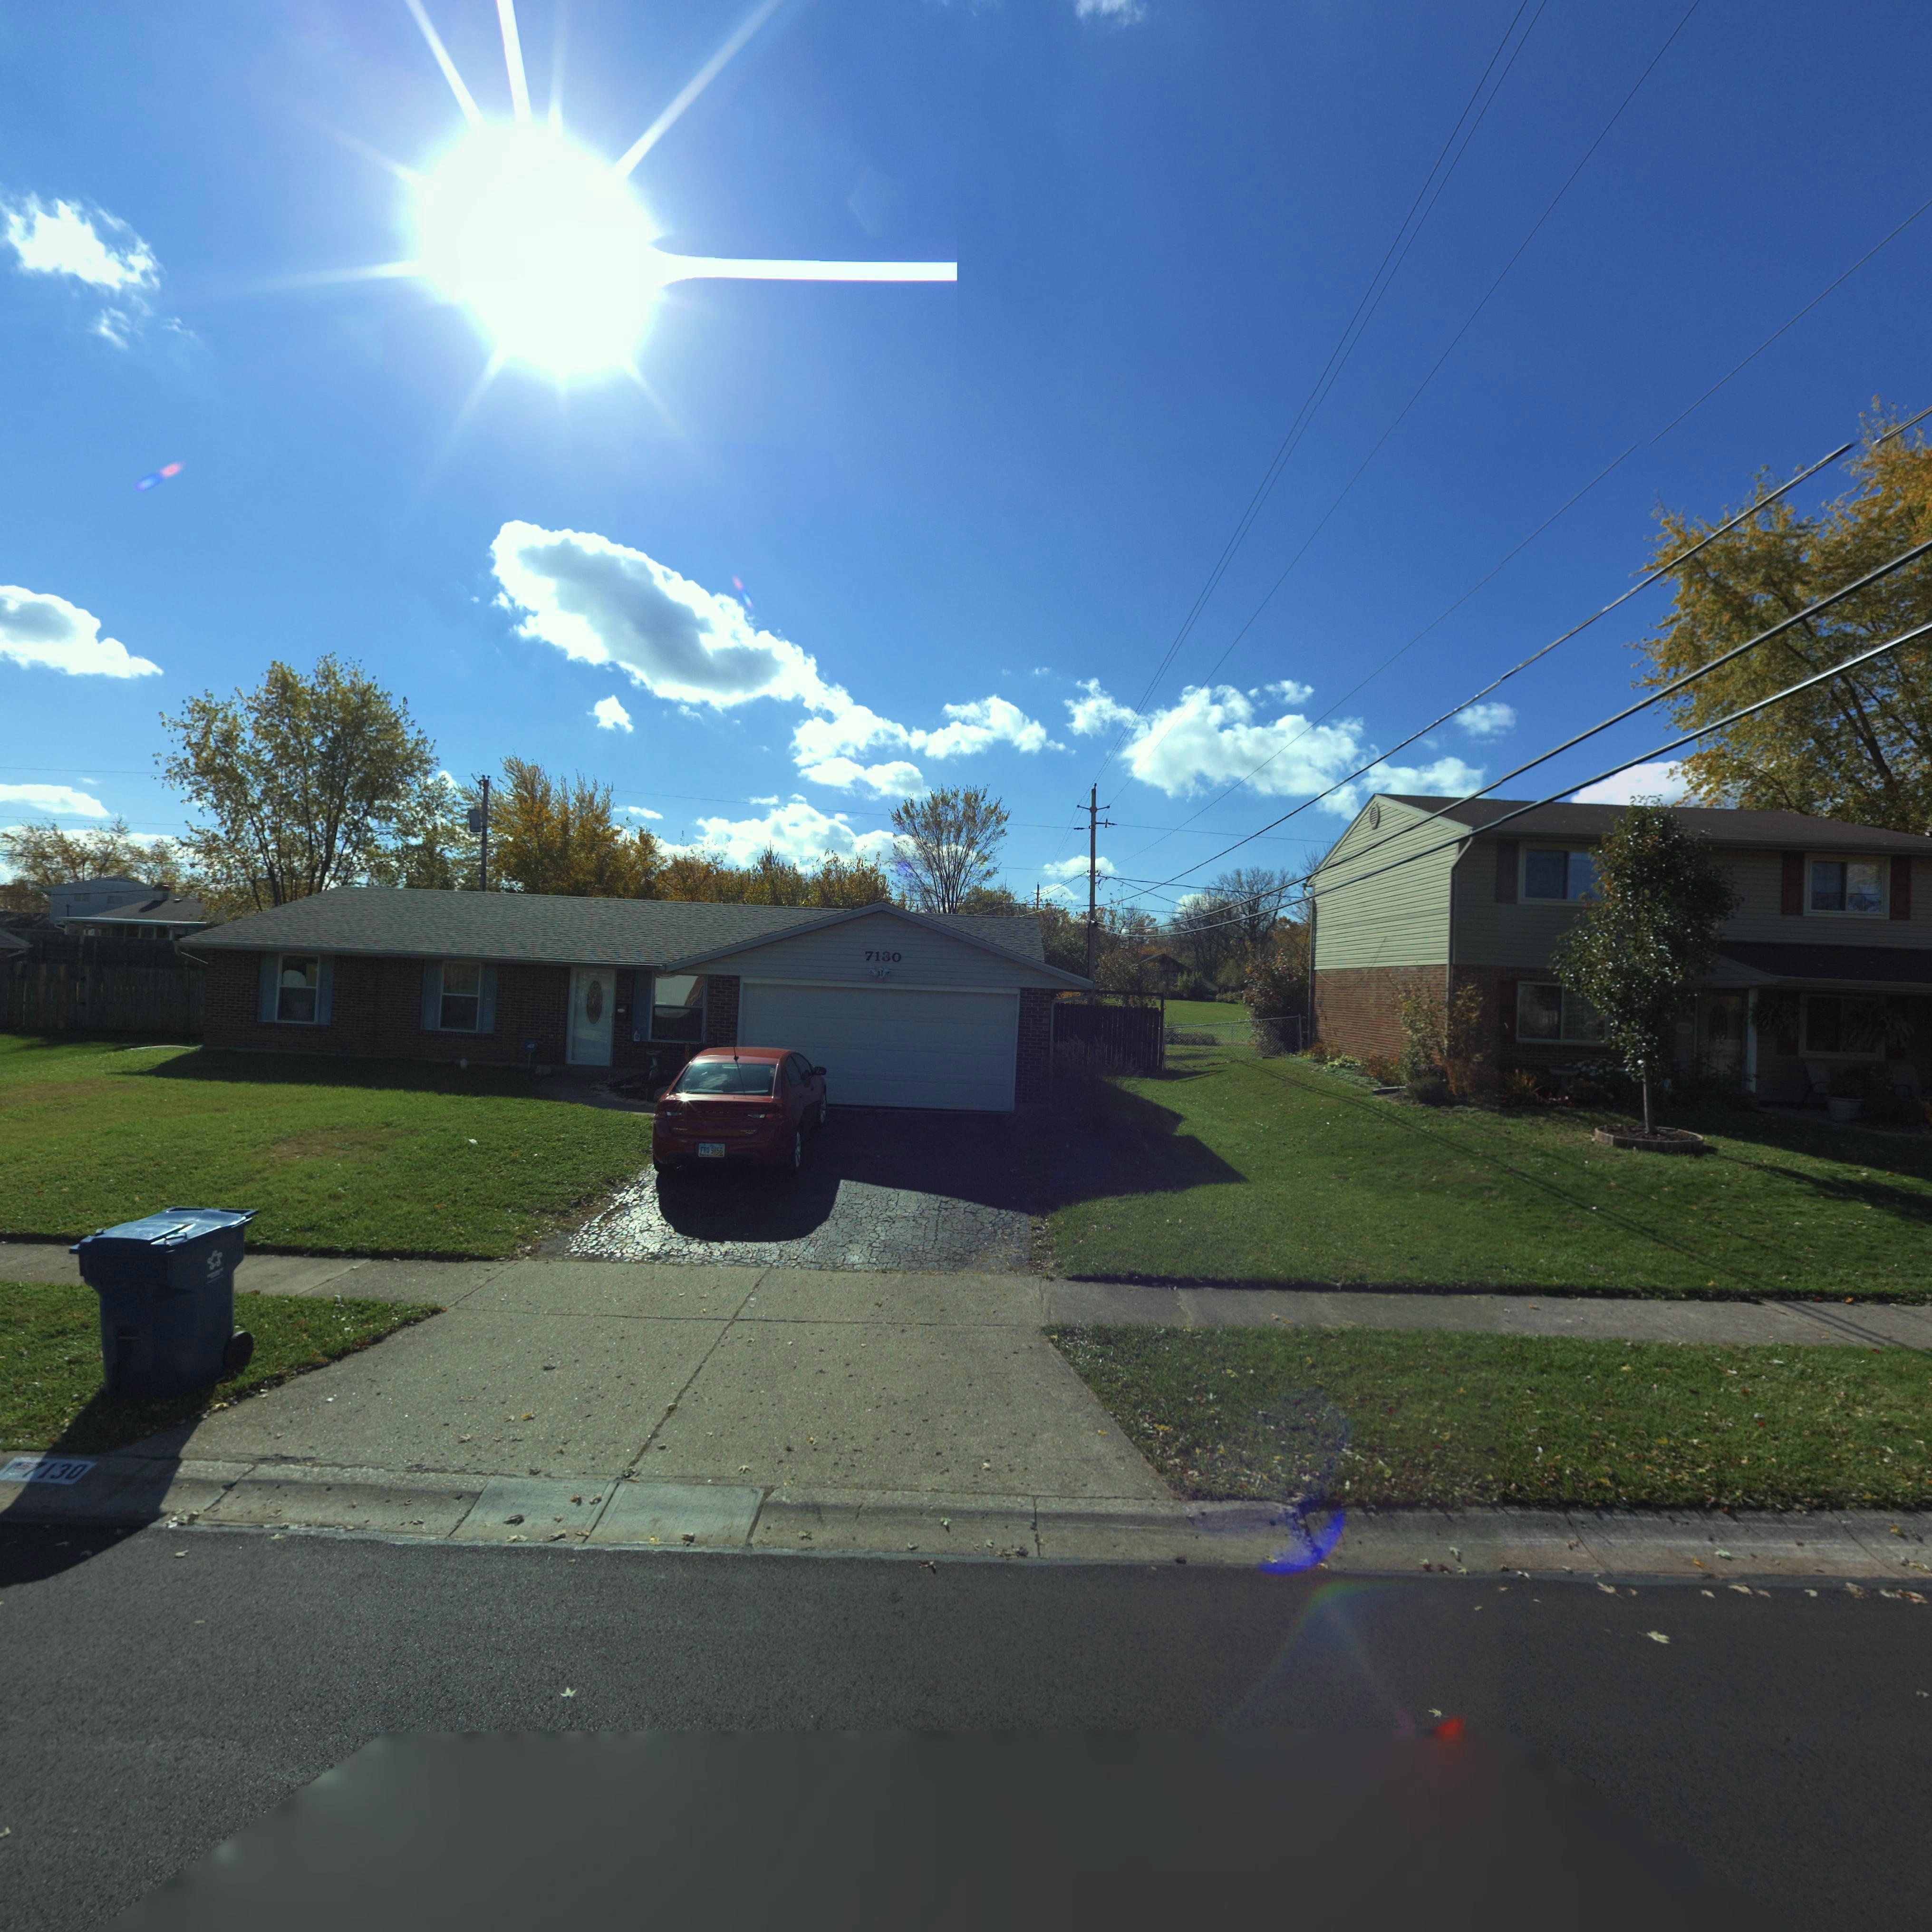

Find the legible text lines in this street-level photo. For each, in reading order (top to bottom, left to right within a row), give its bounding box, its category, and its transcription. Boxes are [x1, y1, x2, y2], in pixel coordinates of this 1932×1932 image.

[864, 950, 903, 963] StreetNumber: 7130
[20, 1459, 90, 1482] StreetNumber: 7130